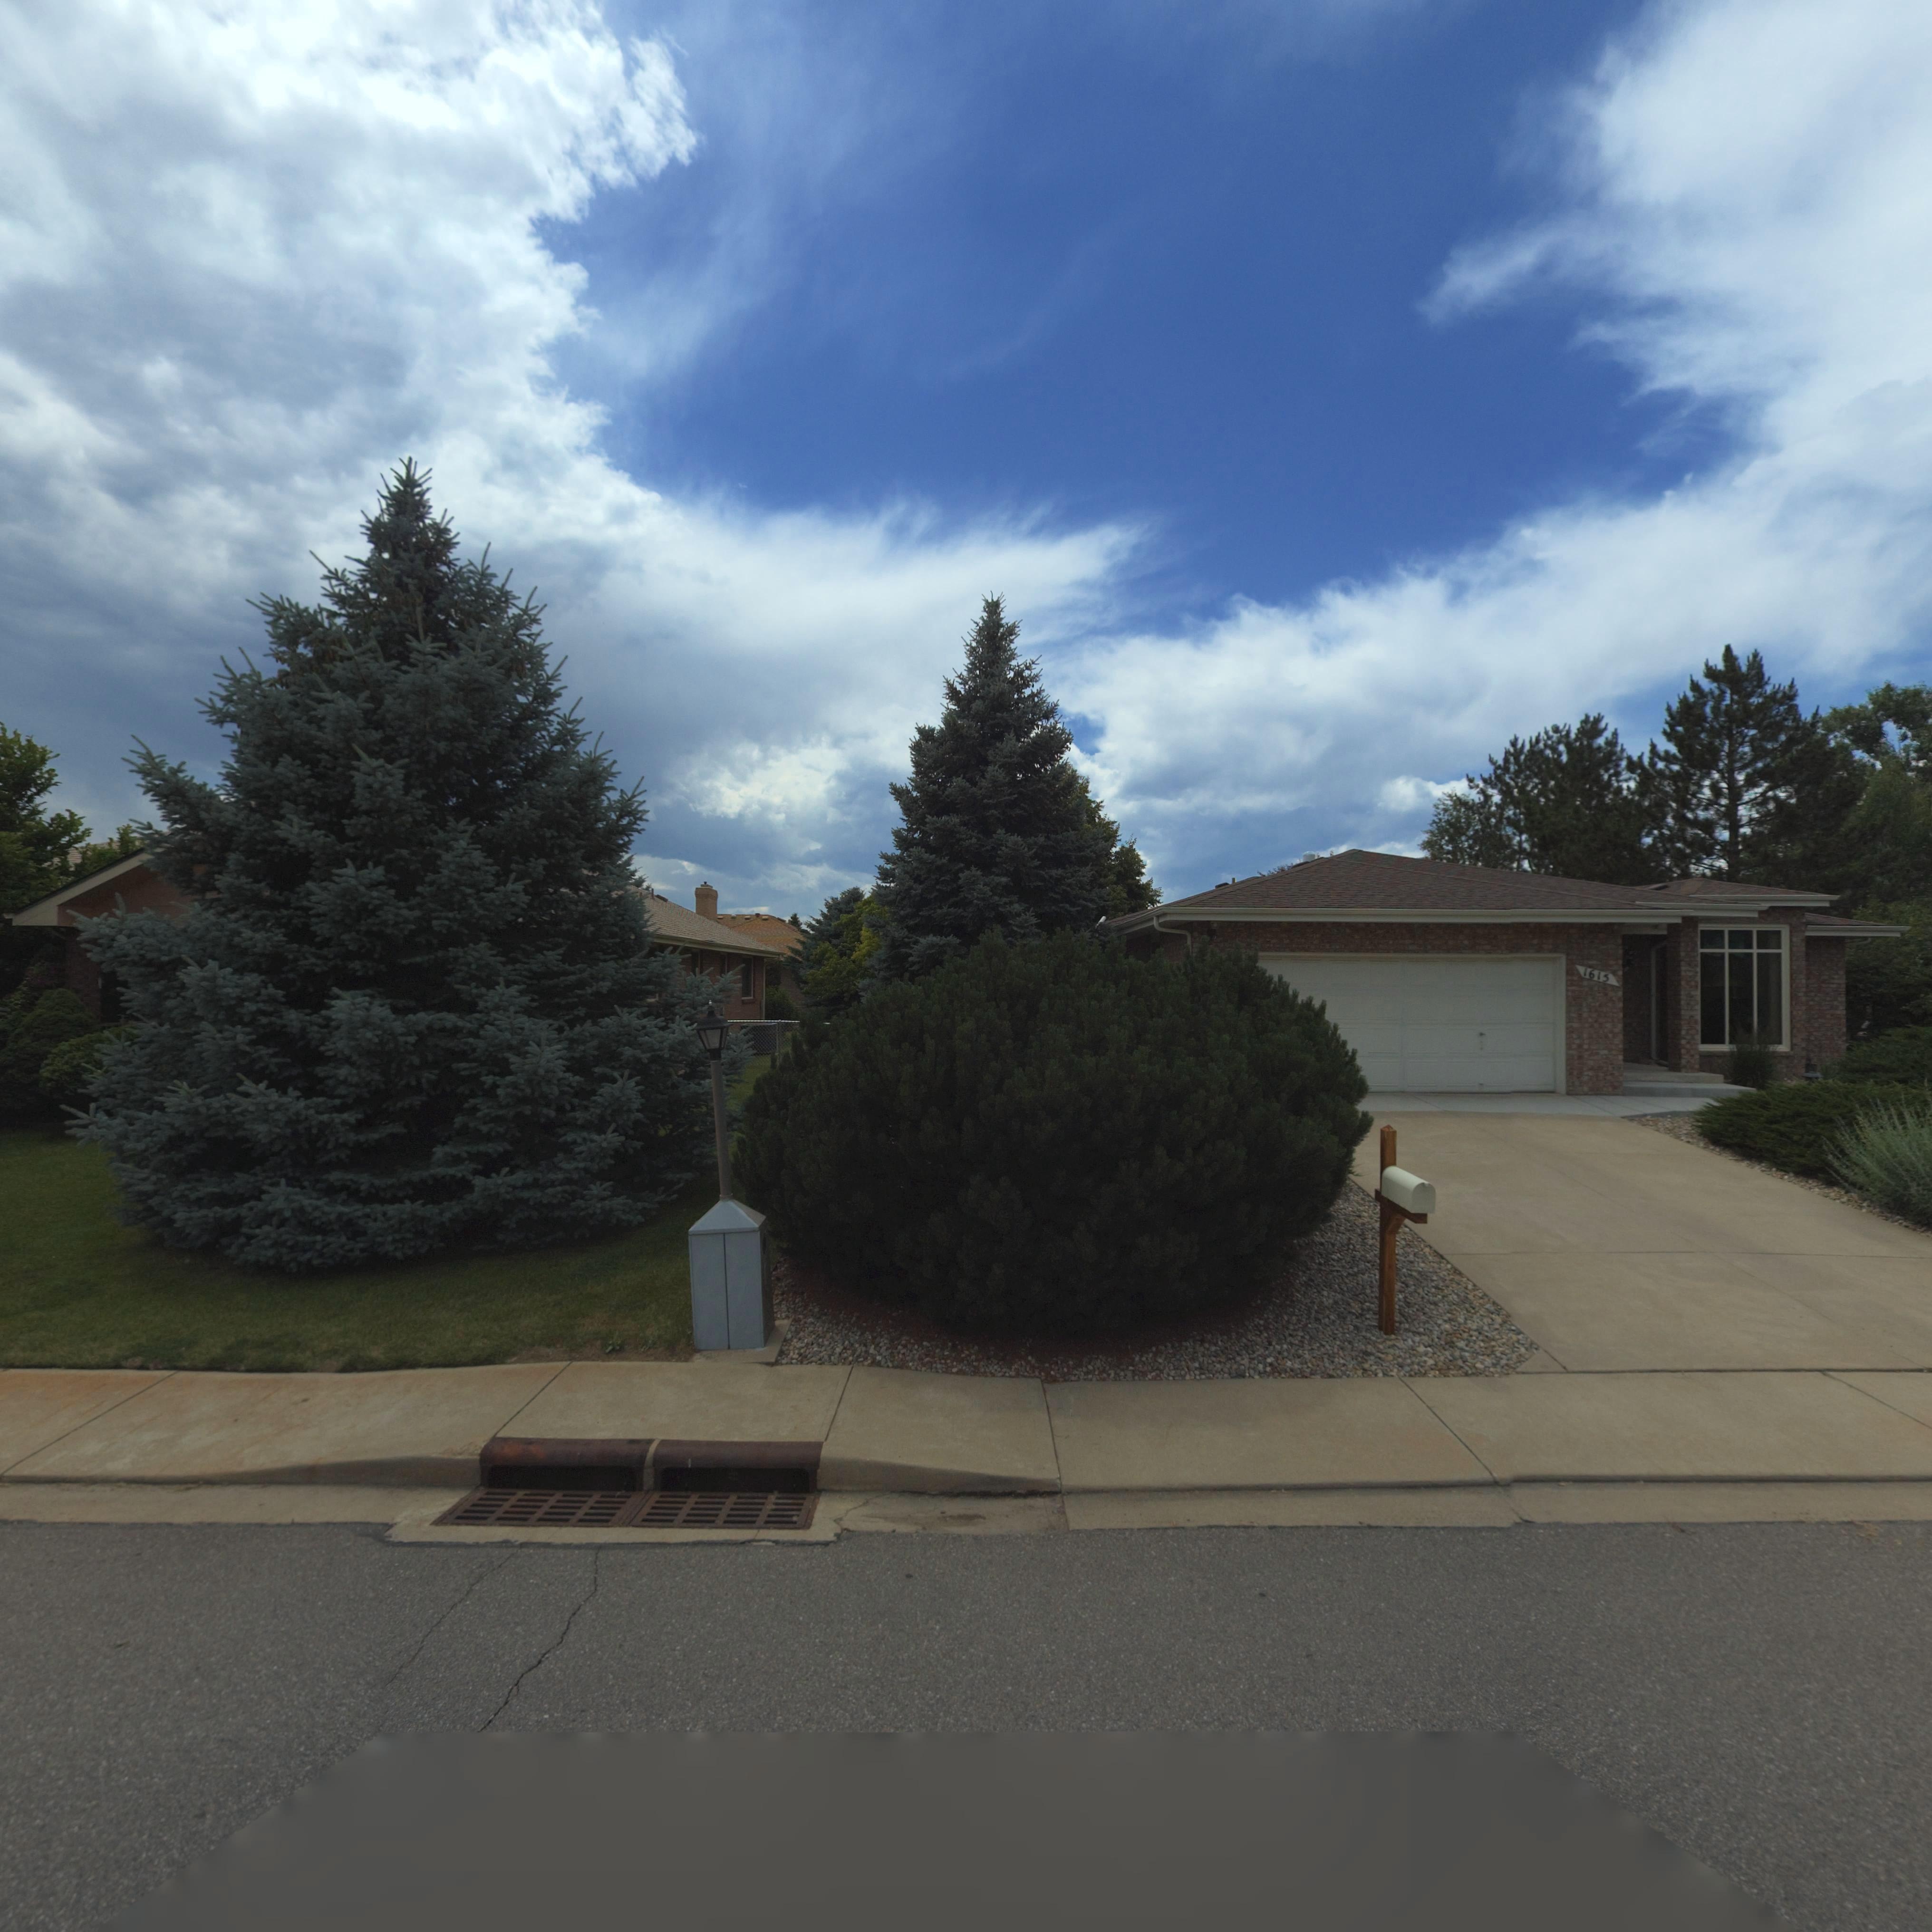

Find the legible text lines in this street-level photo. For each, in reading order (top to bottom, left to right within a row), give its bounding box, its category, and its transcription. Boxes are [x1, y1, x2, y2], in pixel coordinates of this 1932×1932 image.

[1583, 967, 1610, 983] StreetNumber: 1615